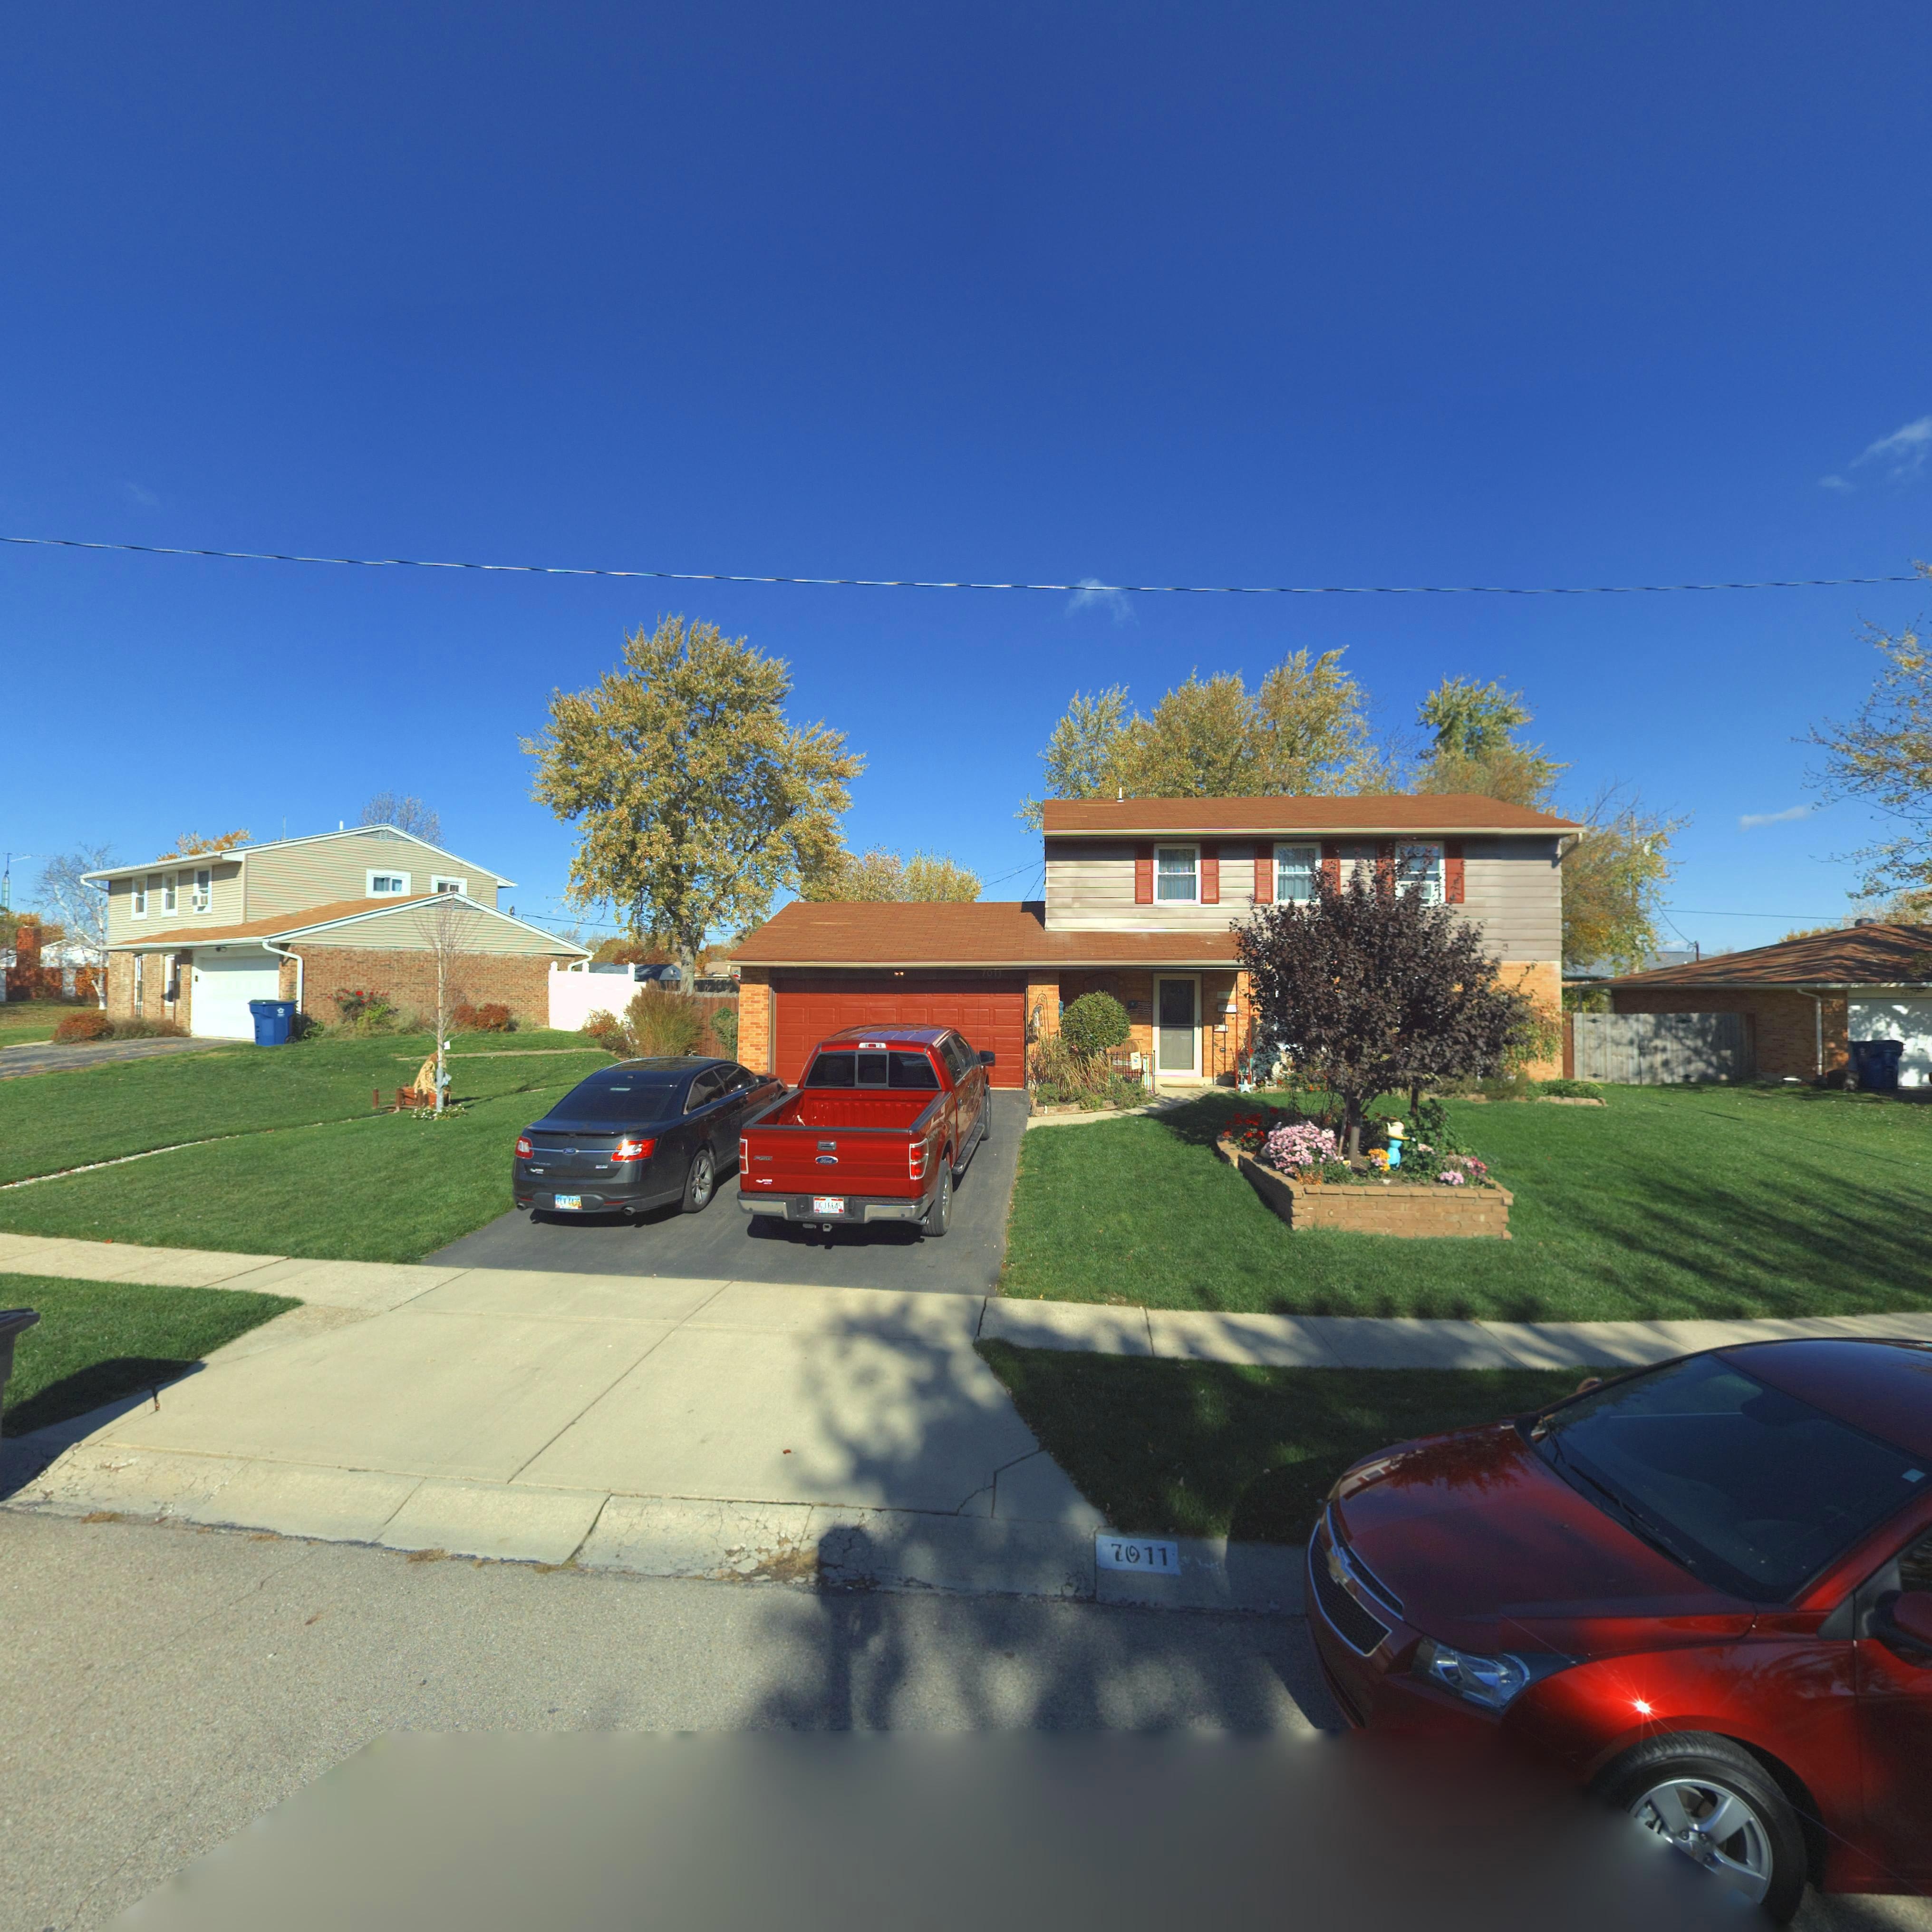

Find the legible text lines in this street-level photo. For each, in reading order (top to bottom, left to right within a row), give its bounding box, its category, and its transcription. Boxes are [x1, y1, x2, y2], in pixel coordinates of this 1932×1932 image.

[980, 969, 1003, 977] StreetNumber: 7011
[1900, 992, 1917, 997] StreetNumber: 7021
[1110, 1542, 1168, 1566] StreetNumber: 7011